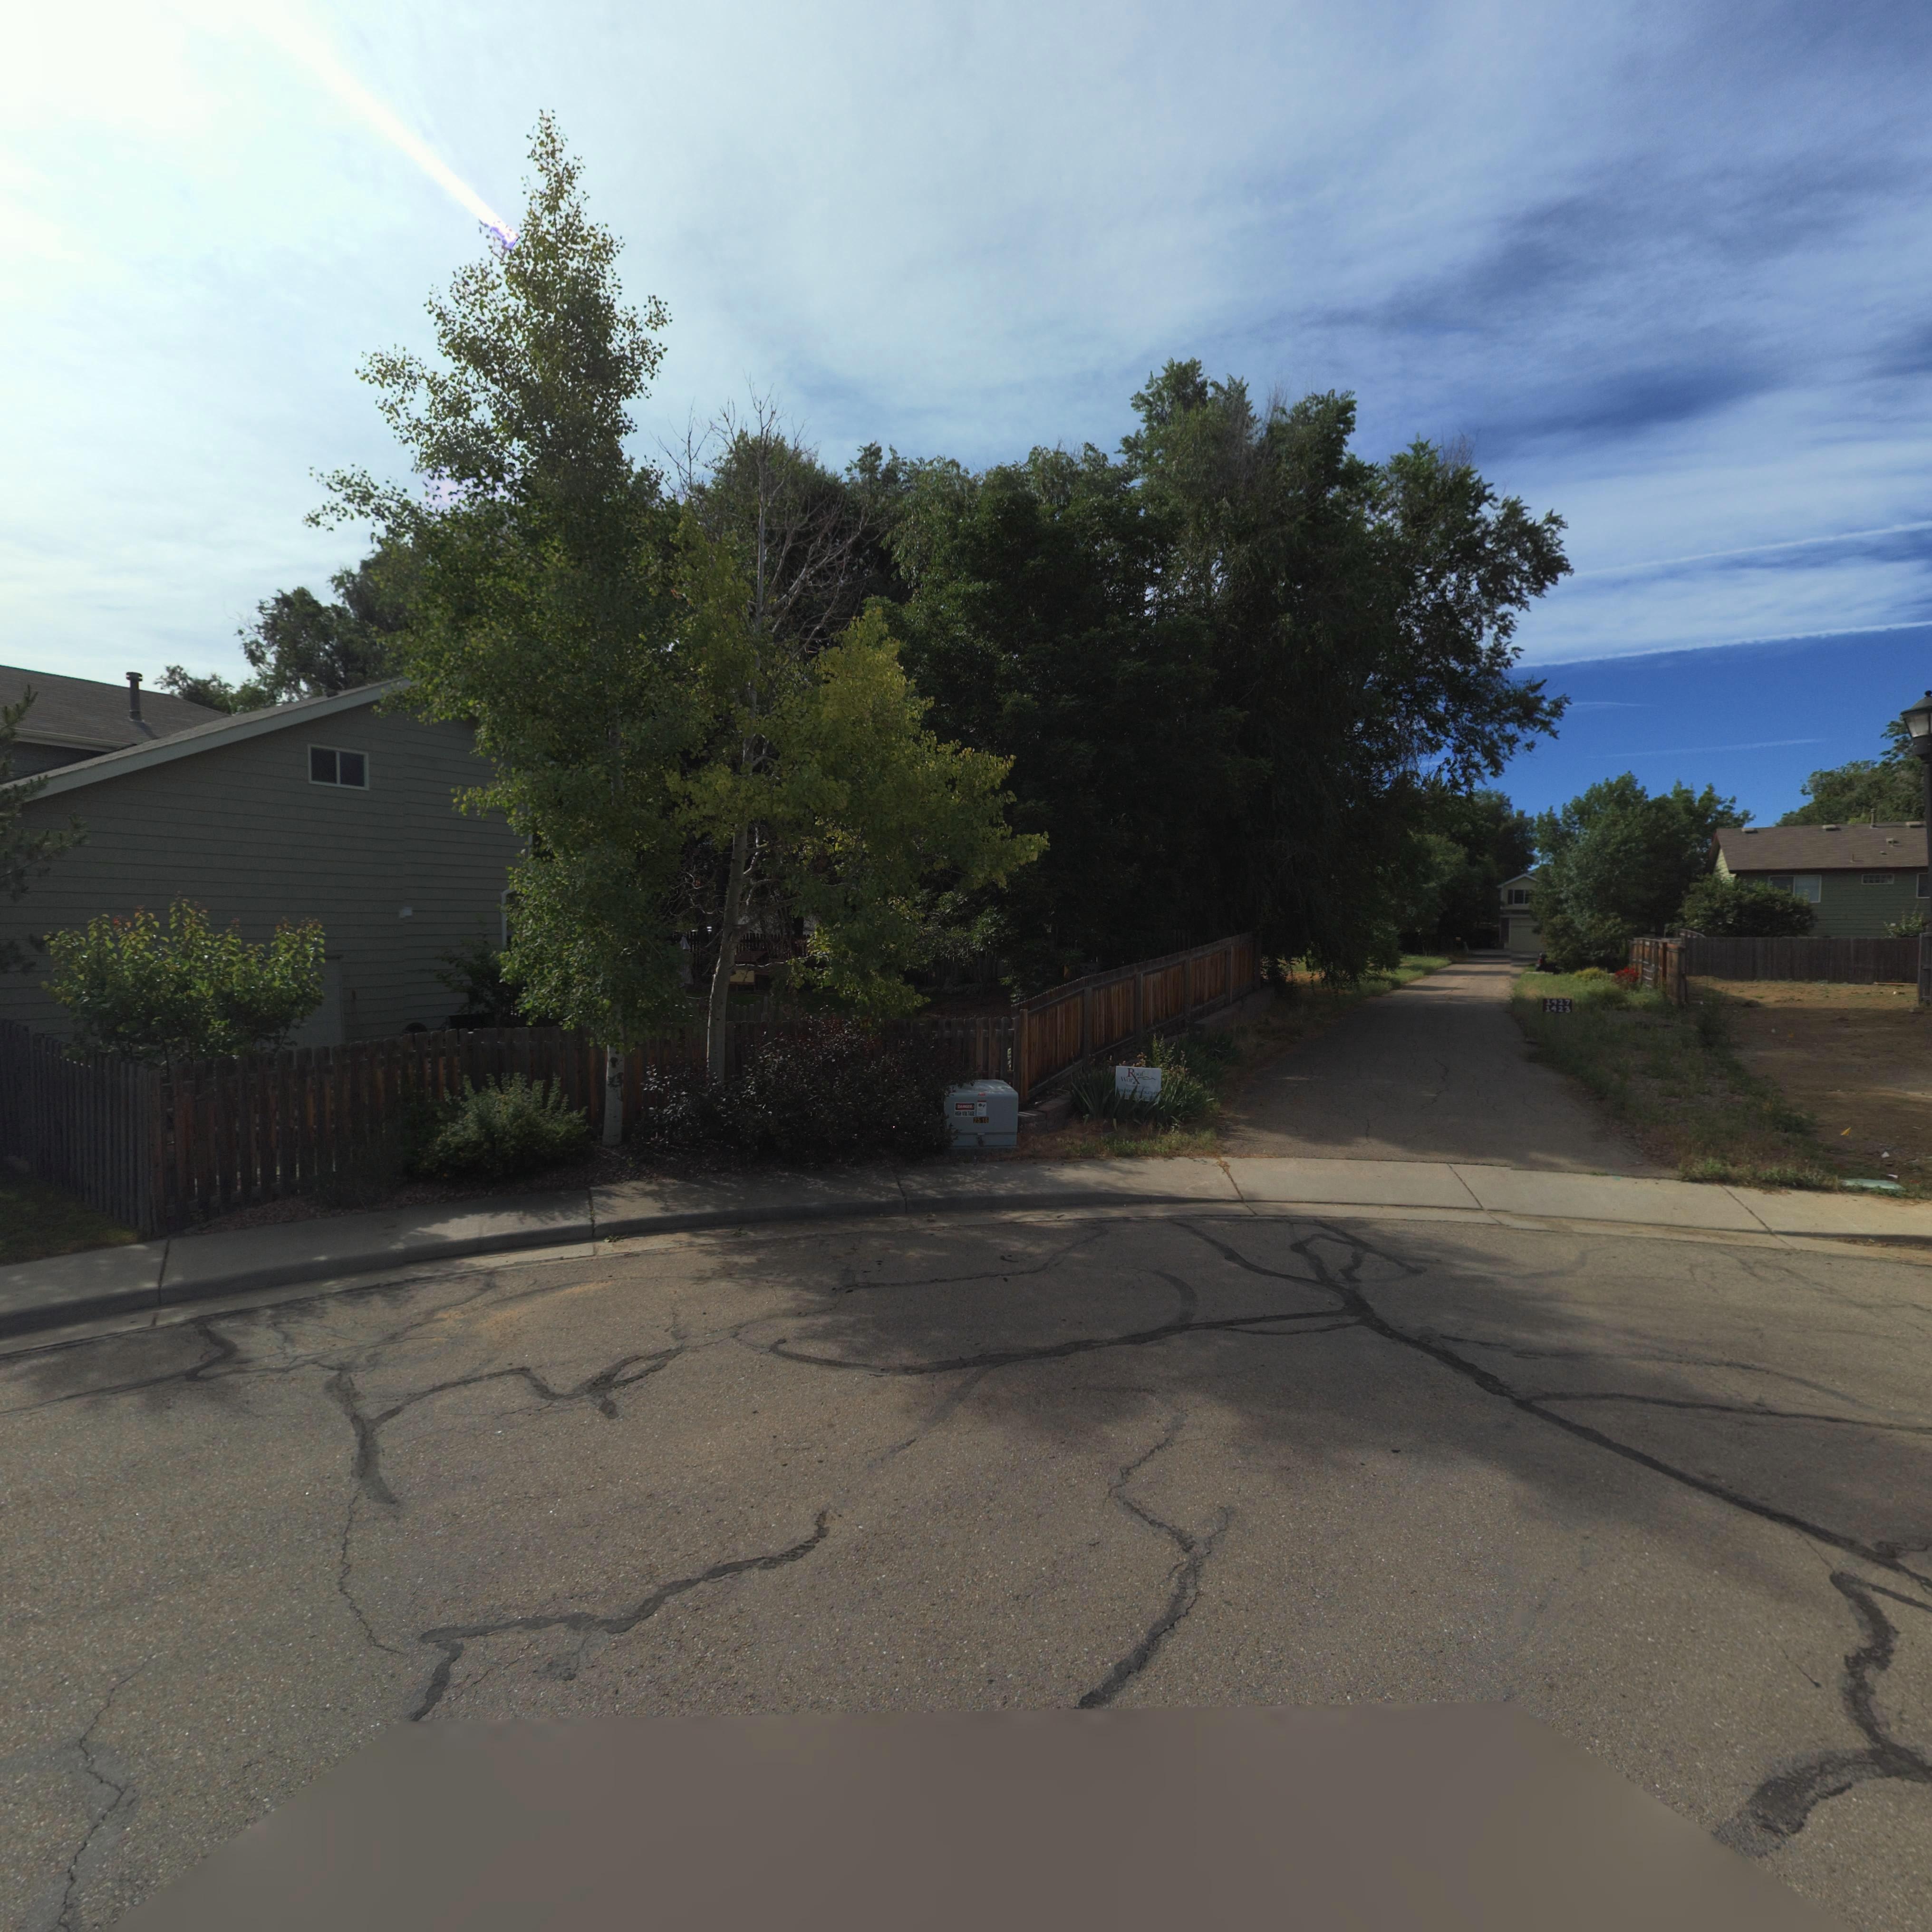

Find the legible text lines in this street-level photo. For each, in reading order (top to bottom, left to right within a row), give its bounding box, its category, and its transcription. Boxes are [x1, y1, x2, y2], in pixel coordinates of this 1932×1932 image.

[1546, 999, 1571, 1005] StreetNumber: 1427
[1545, 1005, 1571, 1013] StreetNumber: 1423